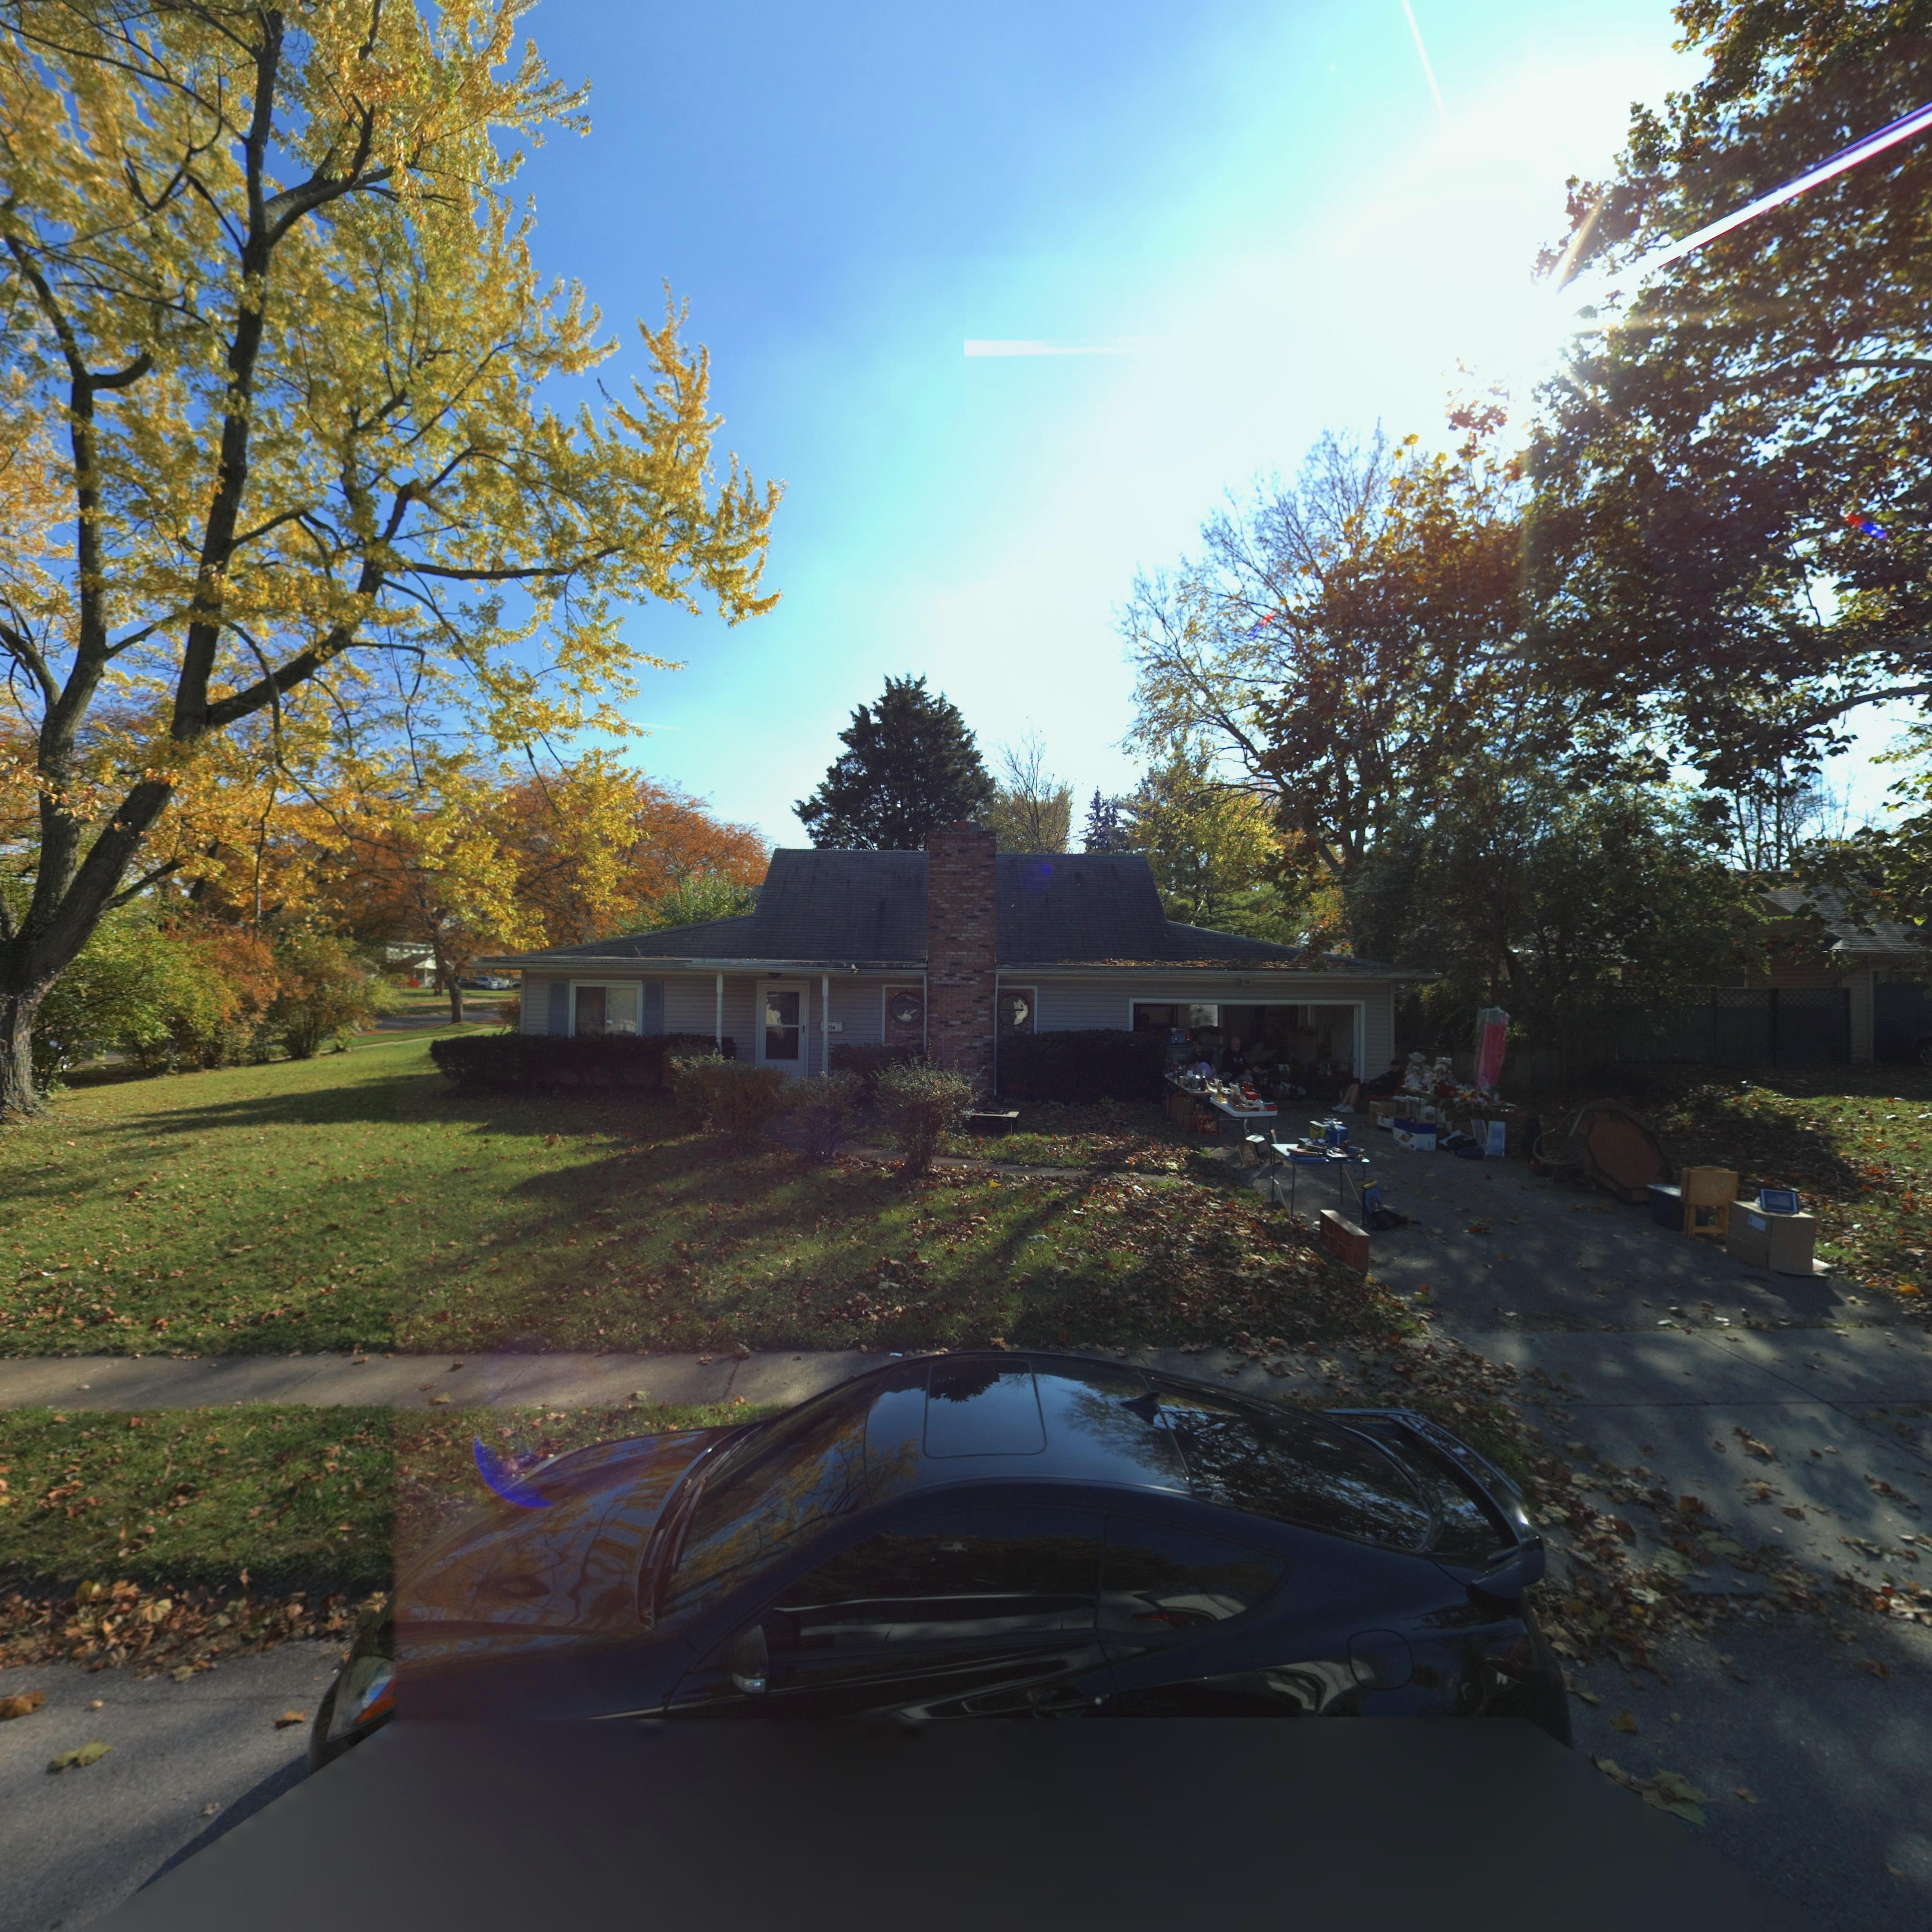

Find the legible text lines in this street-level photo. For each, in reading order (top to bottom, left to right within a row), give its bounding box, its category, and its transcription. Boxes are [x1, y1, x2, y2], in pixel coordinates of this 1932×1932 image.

[828, 1025, 836, 1030] StreetNumber: *56